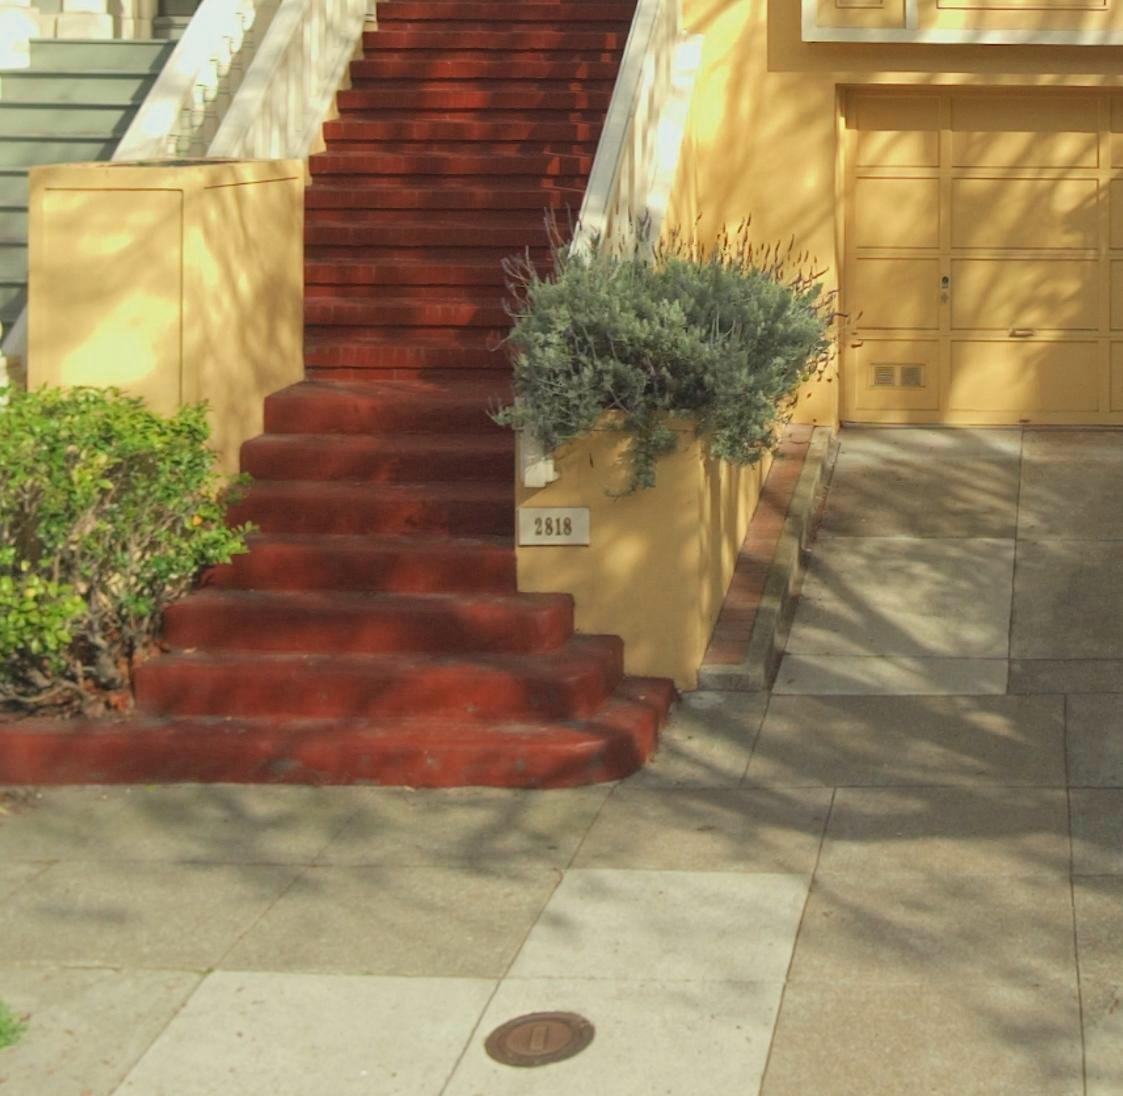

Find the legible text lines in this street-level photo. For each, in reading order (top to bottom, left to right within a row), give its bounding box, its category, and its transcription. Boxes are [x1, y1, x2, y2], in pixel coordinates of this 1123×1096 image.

[531, 514, 574, 539] StreetNumber: 2818